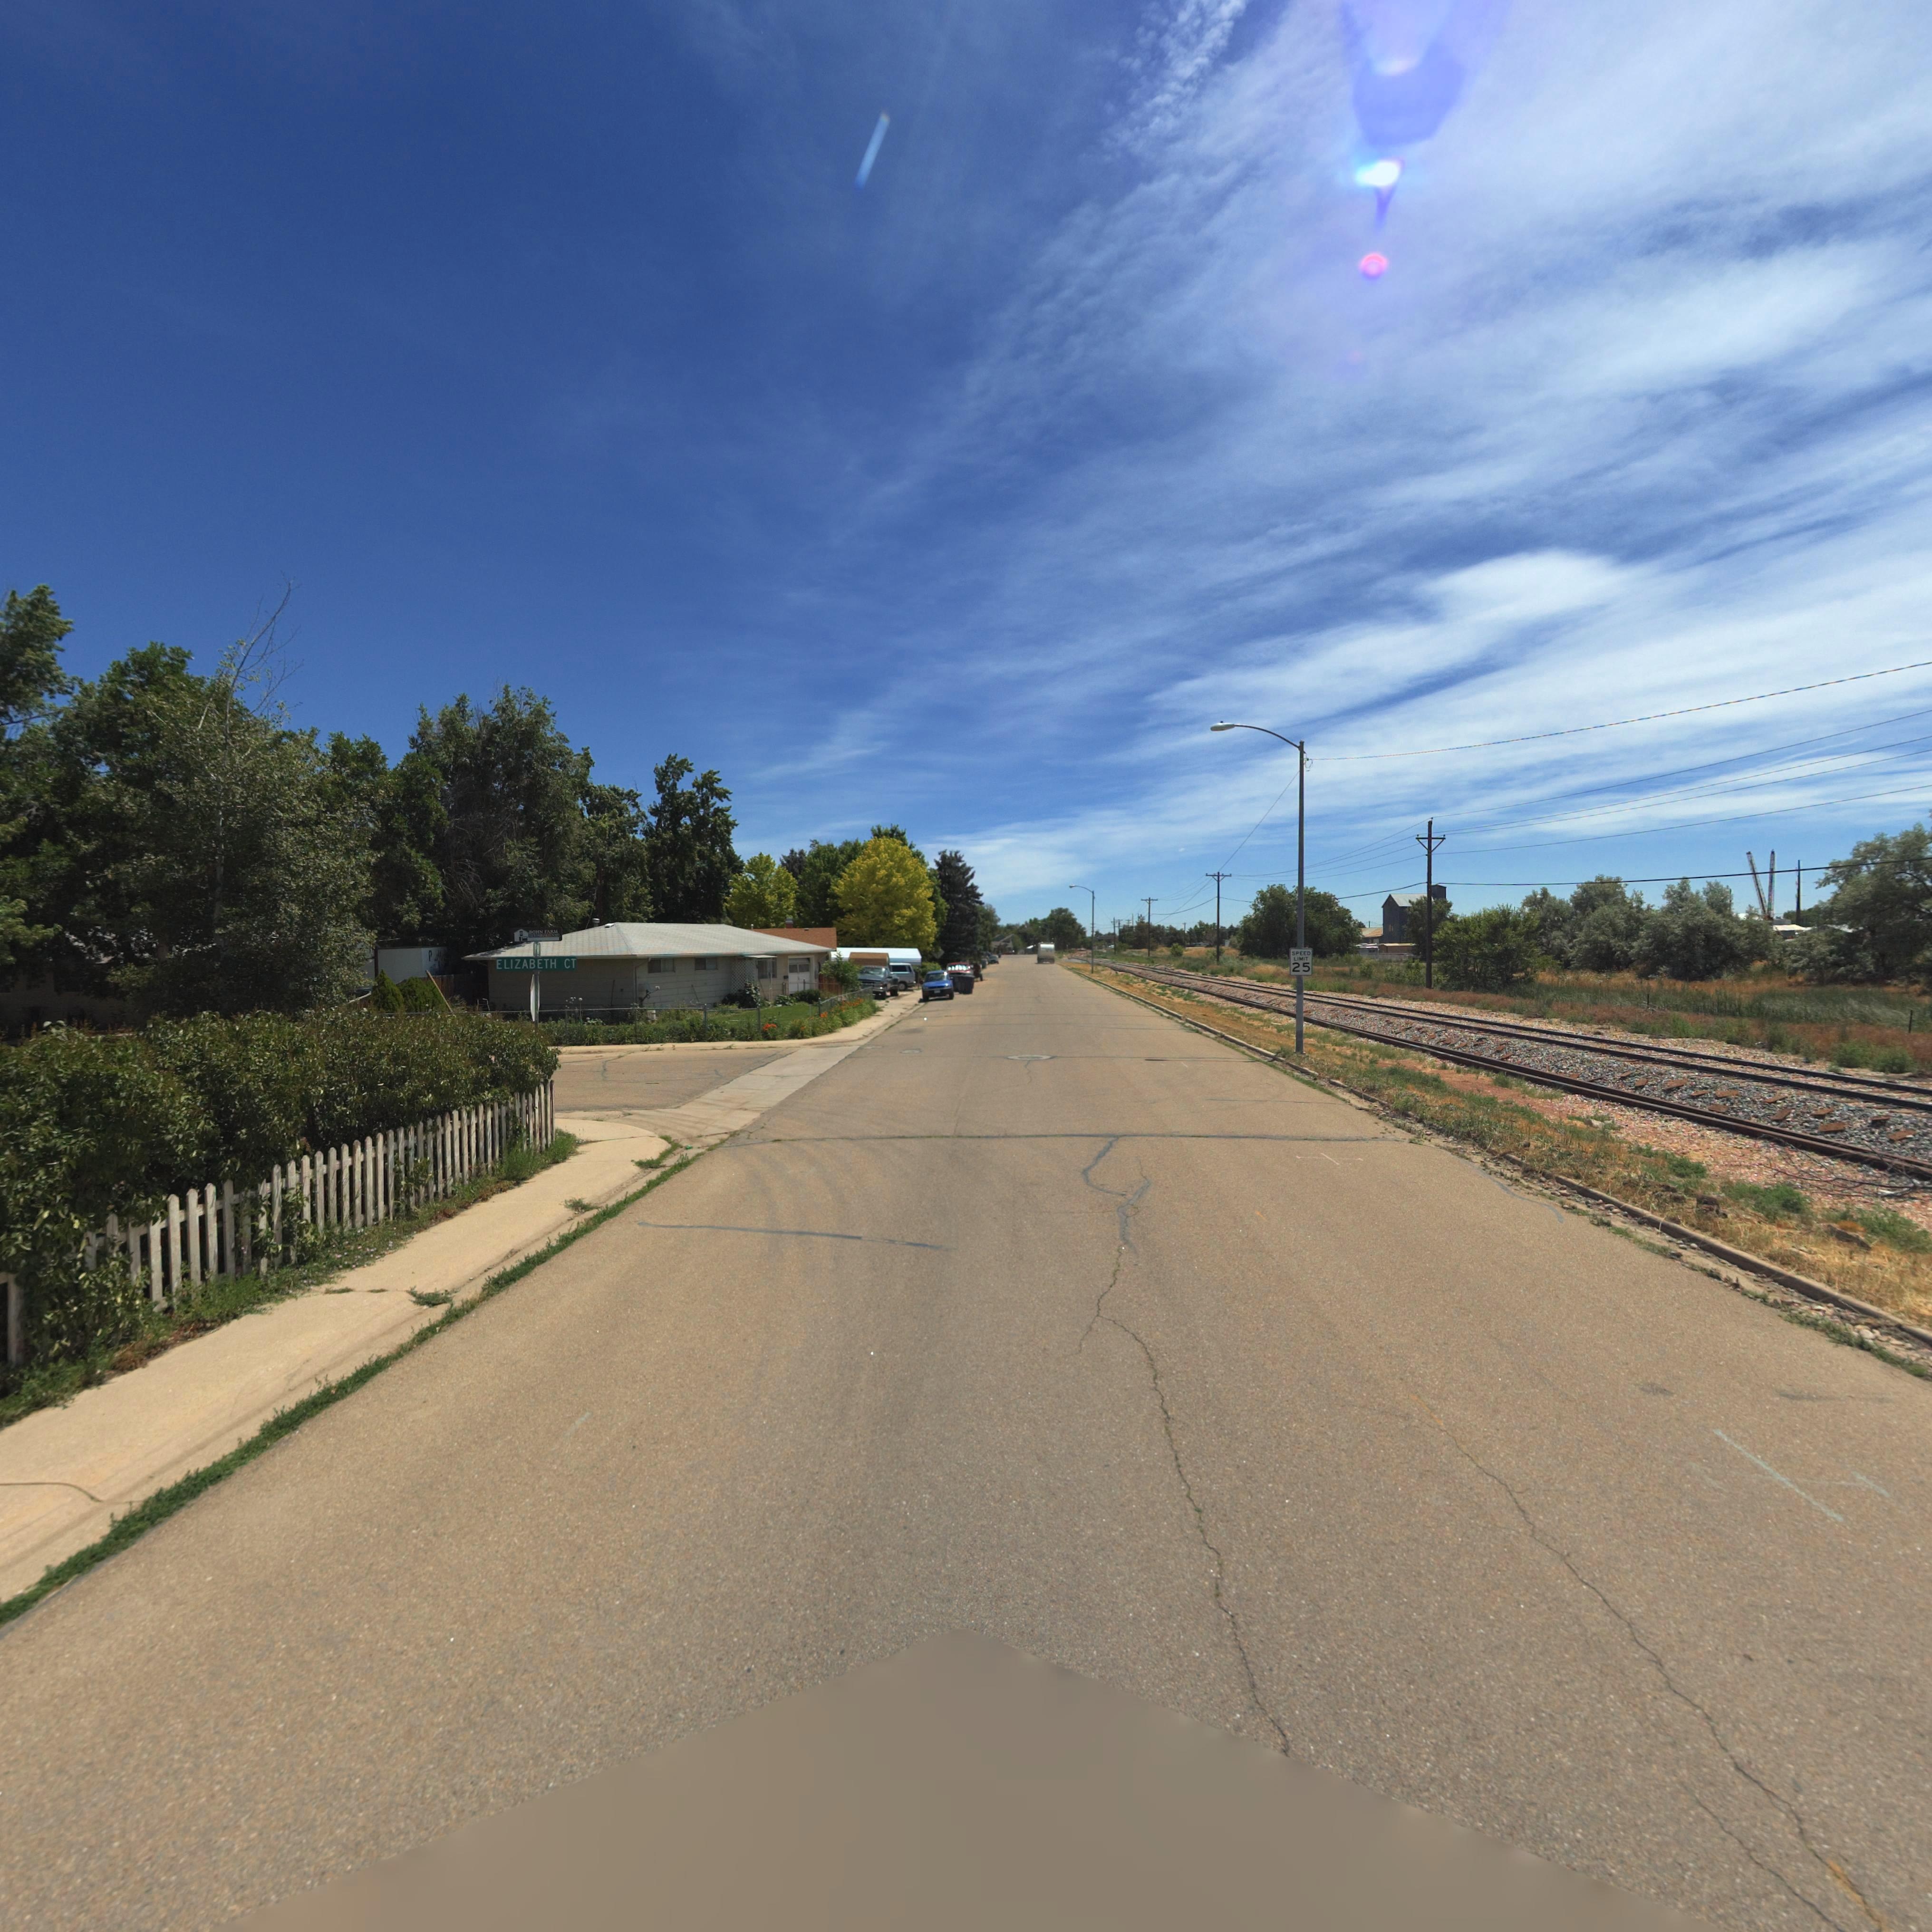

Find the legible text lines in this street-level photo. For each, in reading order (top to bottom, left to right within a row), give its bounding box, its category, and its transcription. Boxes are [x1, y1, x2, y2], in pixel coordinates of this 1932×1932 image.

[496, 958, 577, 970] StreetName: ELIZABETH CT